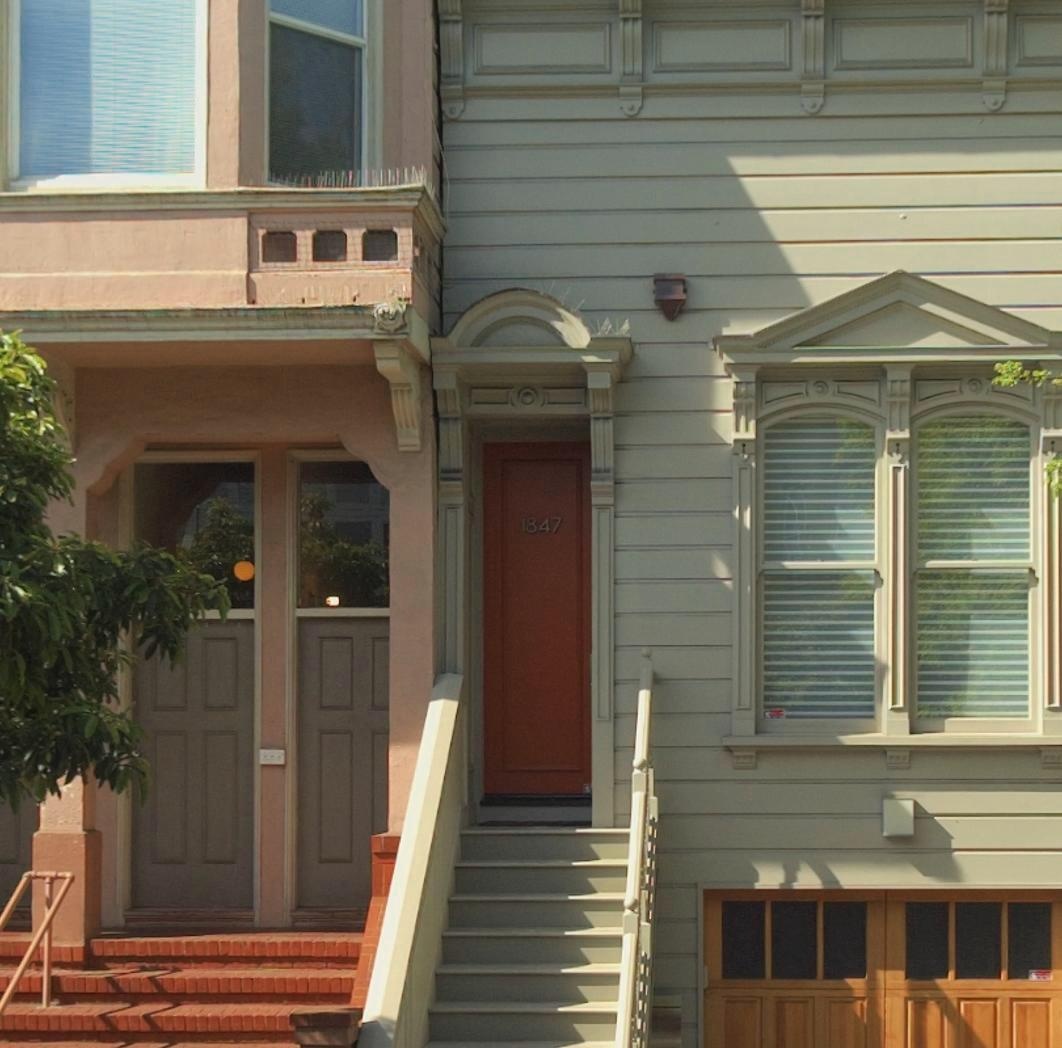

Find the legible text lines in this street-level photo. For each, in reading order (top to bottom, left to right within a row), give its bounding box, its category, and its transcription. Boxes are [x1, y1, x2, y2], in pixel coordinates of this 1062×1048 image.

[520, 515, 564, 535] StreetNumber: 1847